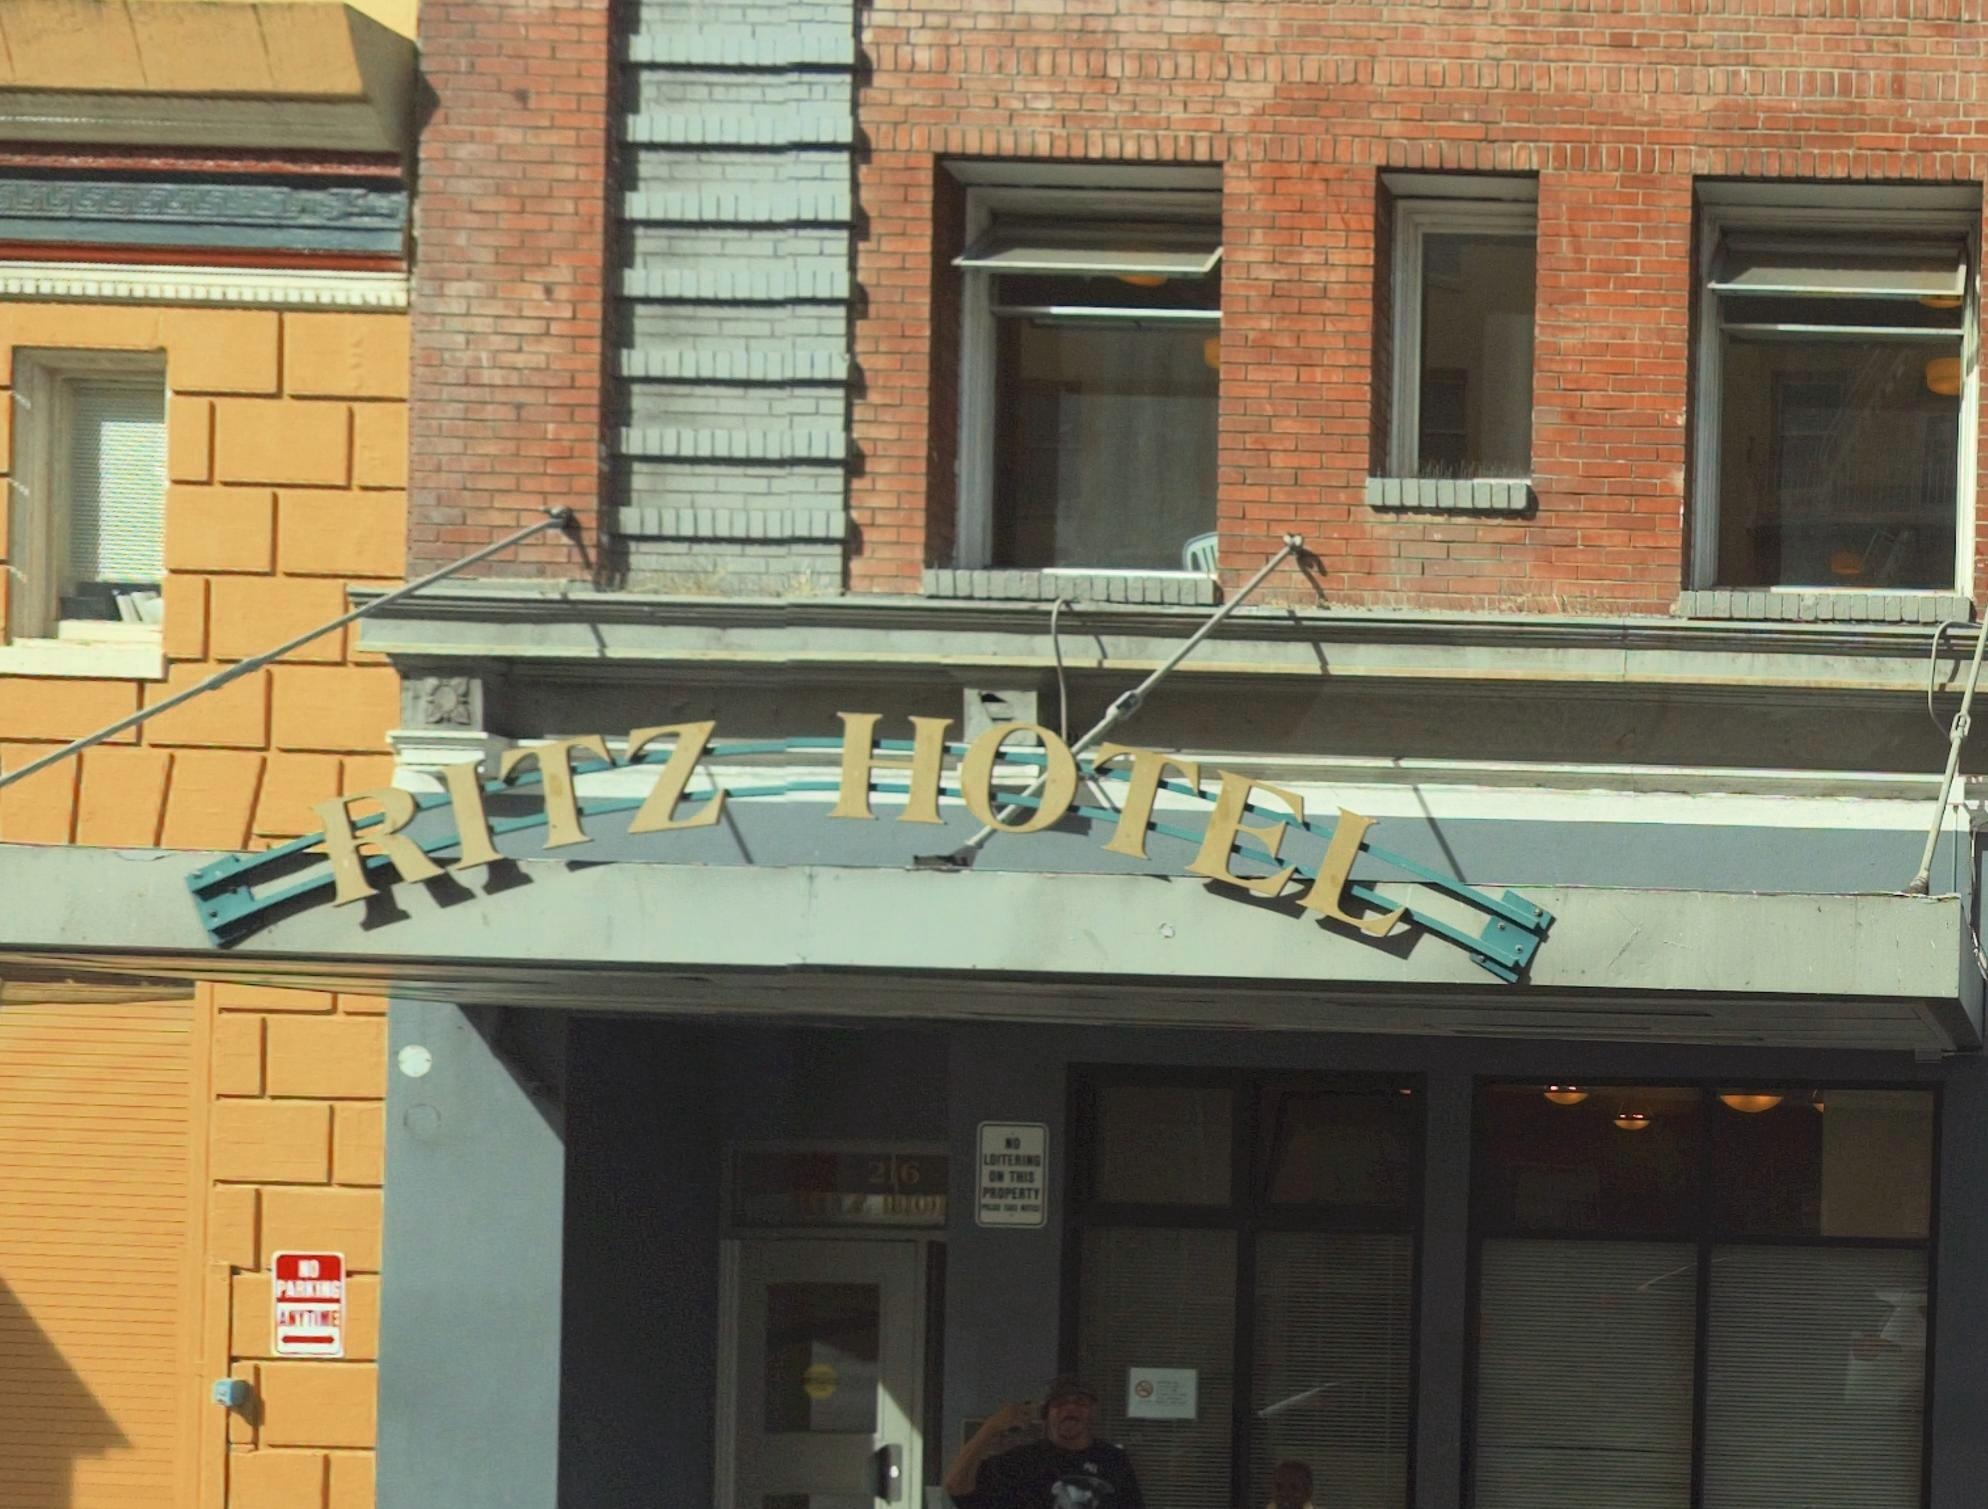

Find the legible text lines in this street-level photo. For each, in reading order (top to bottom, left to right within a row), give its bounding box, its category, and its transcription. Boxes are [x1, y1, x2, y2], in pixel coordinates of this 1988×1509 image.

[298, 704, 1414, 952] BusinessName: RITZ HOTEL
[1001, 1134, 1024, 1153] None: NO
[981, 1151, 1043, 1170] None: LOITERING
[861, 1156, 925, 1190] StreetNumber: 216
[984, 1167, 1038, 1187] None: ON THIS
[979, 1182, 1042, 1203] None: PROPERY
[295, 1256, 323, 1280] None: NO
[272, 1276, 342, 1303] None: PARKING
[273, 1306, 342, 1332] None: ANYTIME